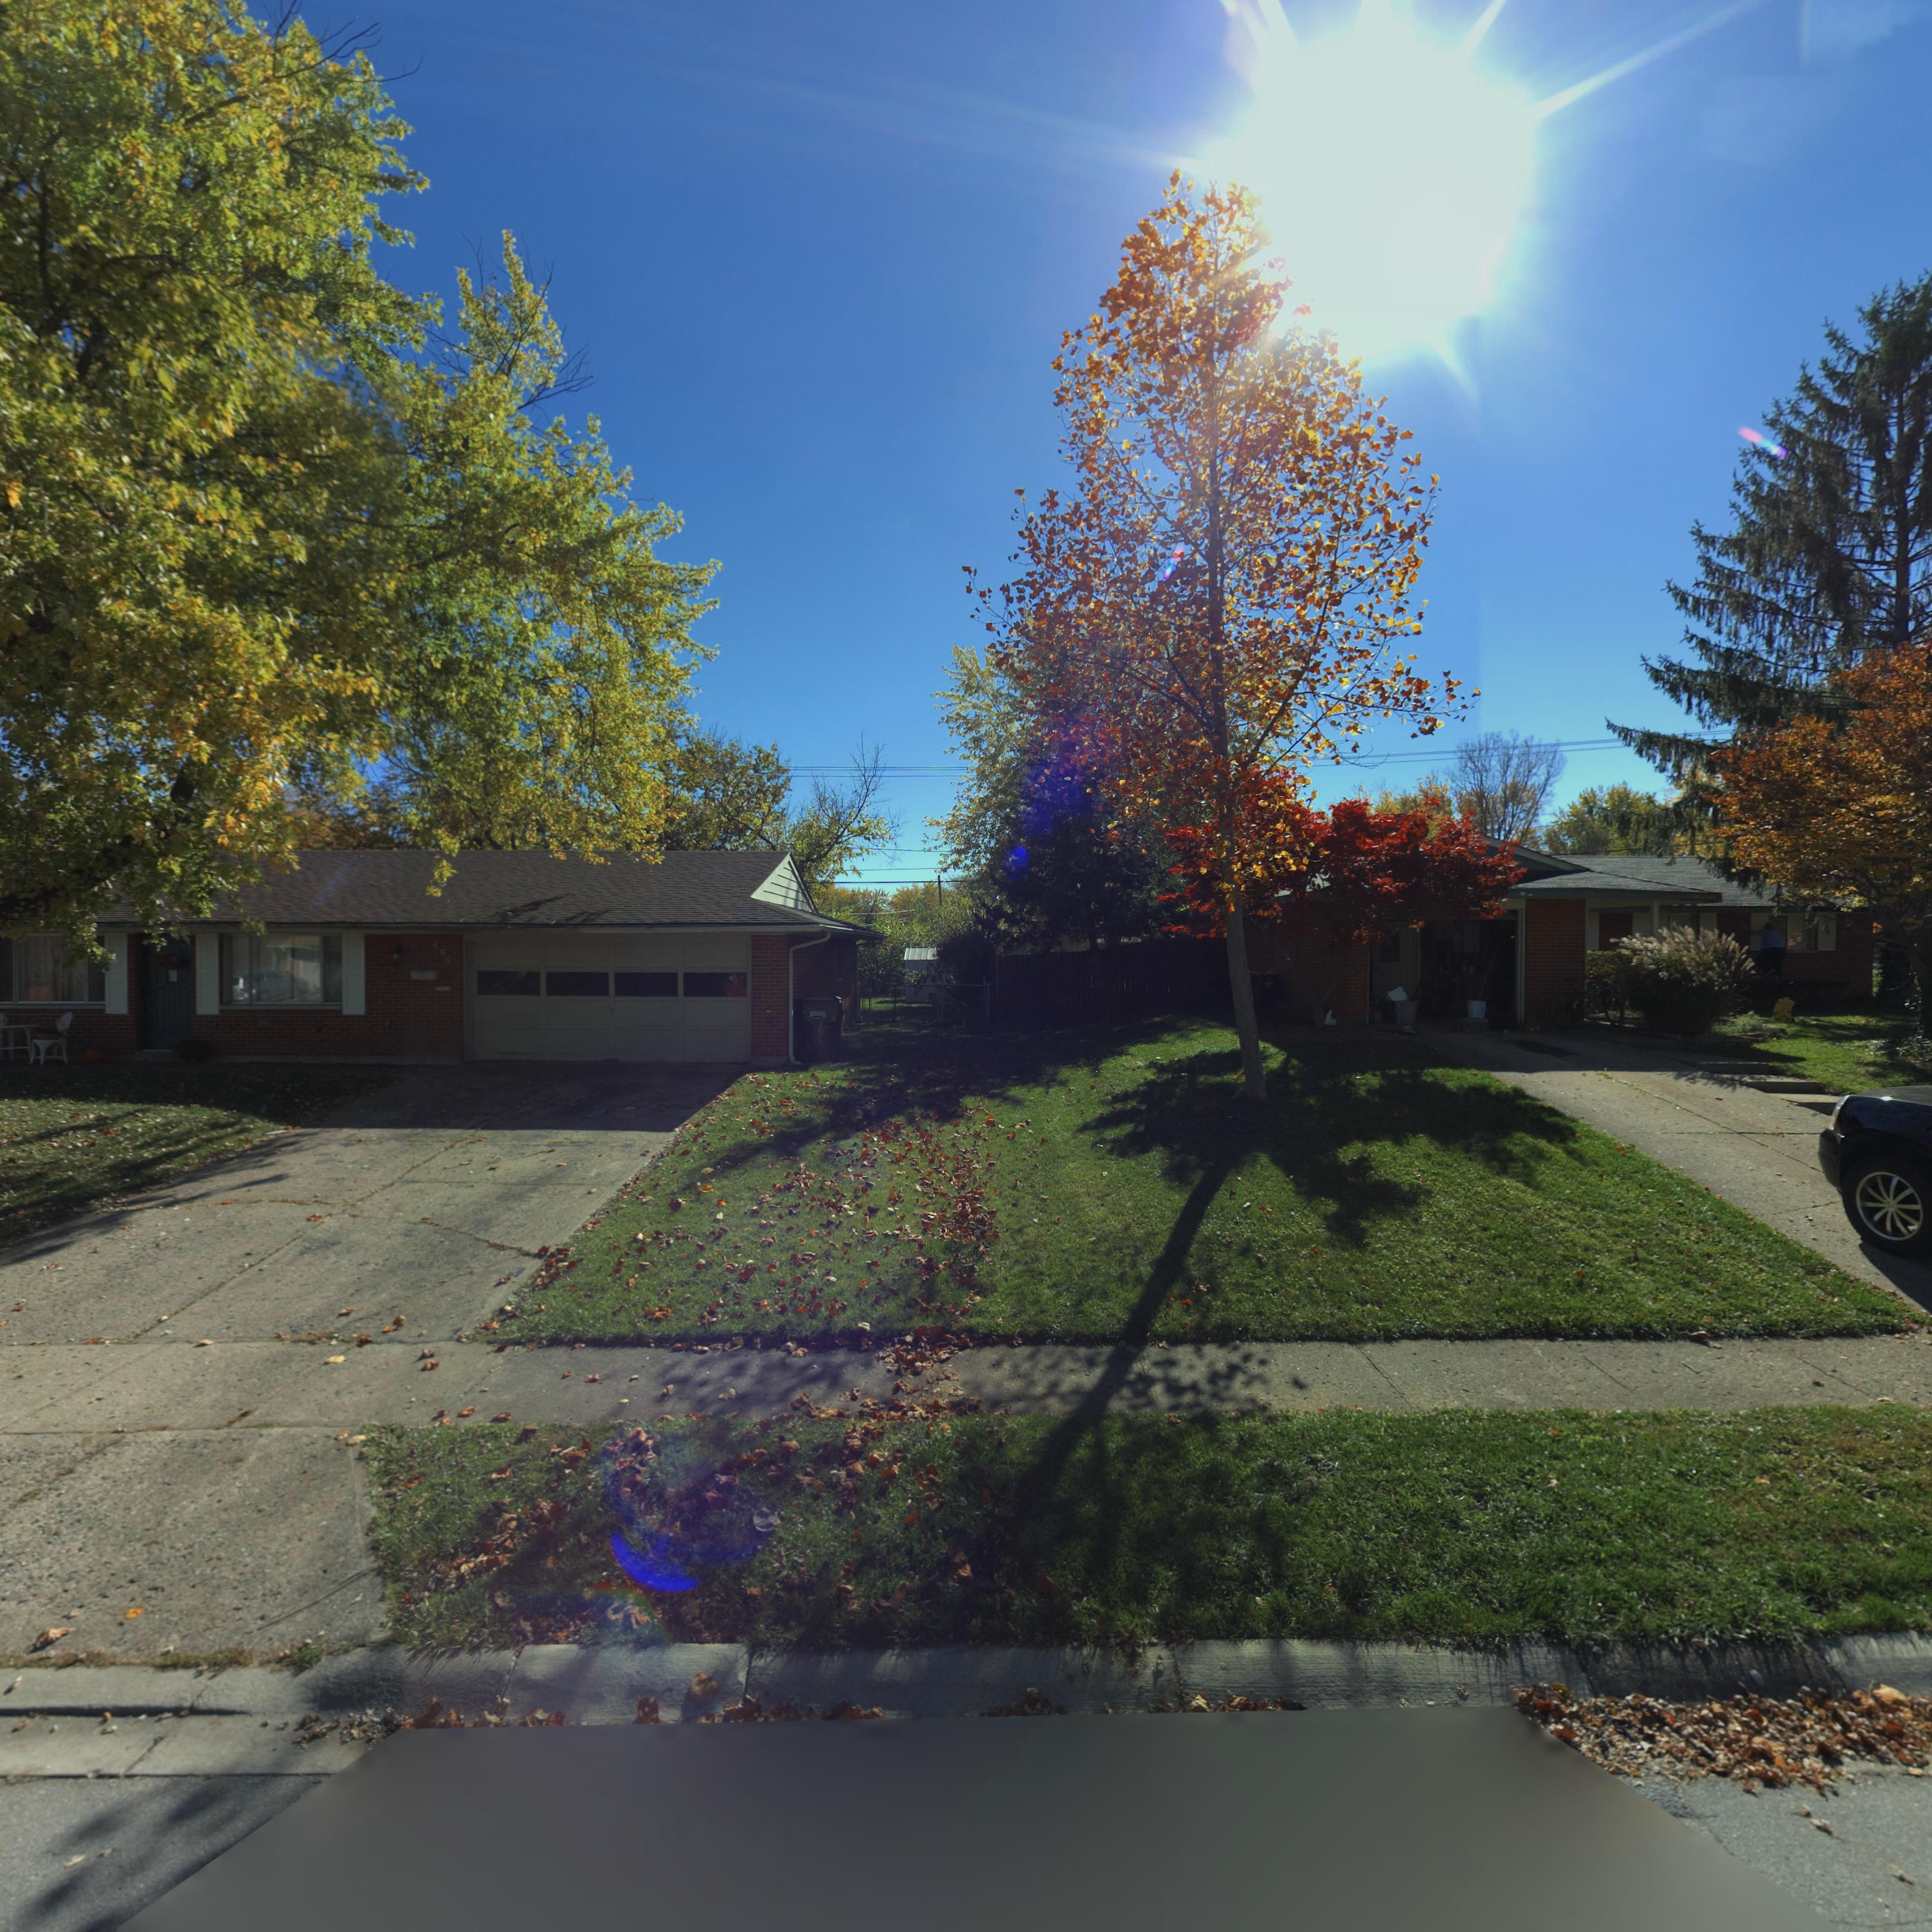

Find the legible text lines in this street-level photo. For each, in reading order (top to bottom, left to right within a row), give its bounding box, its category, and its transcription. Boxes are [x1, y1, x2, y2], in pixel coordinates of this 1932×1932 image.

[431, 939, 452, 967] StreetNumber: *0*